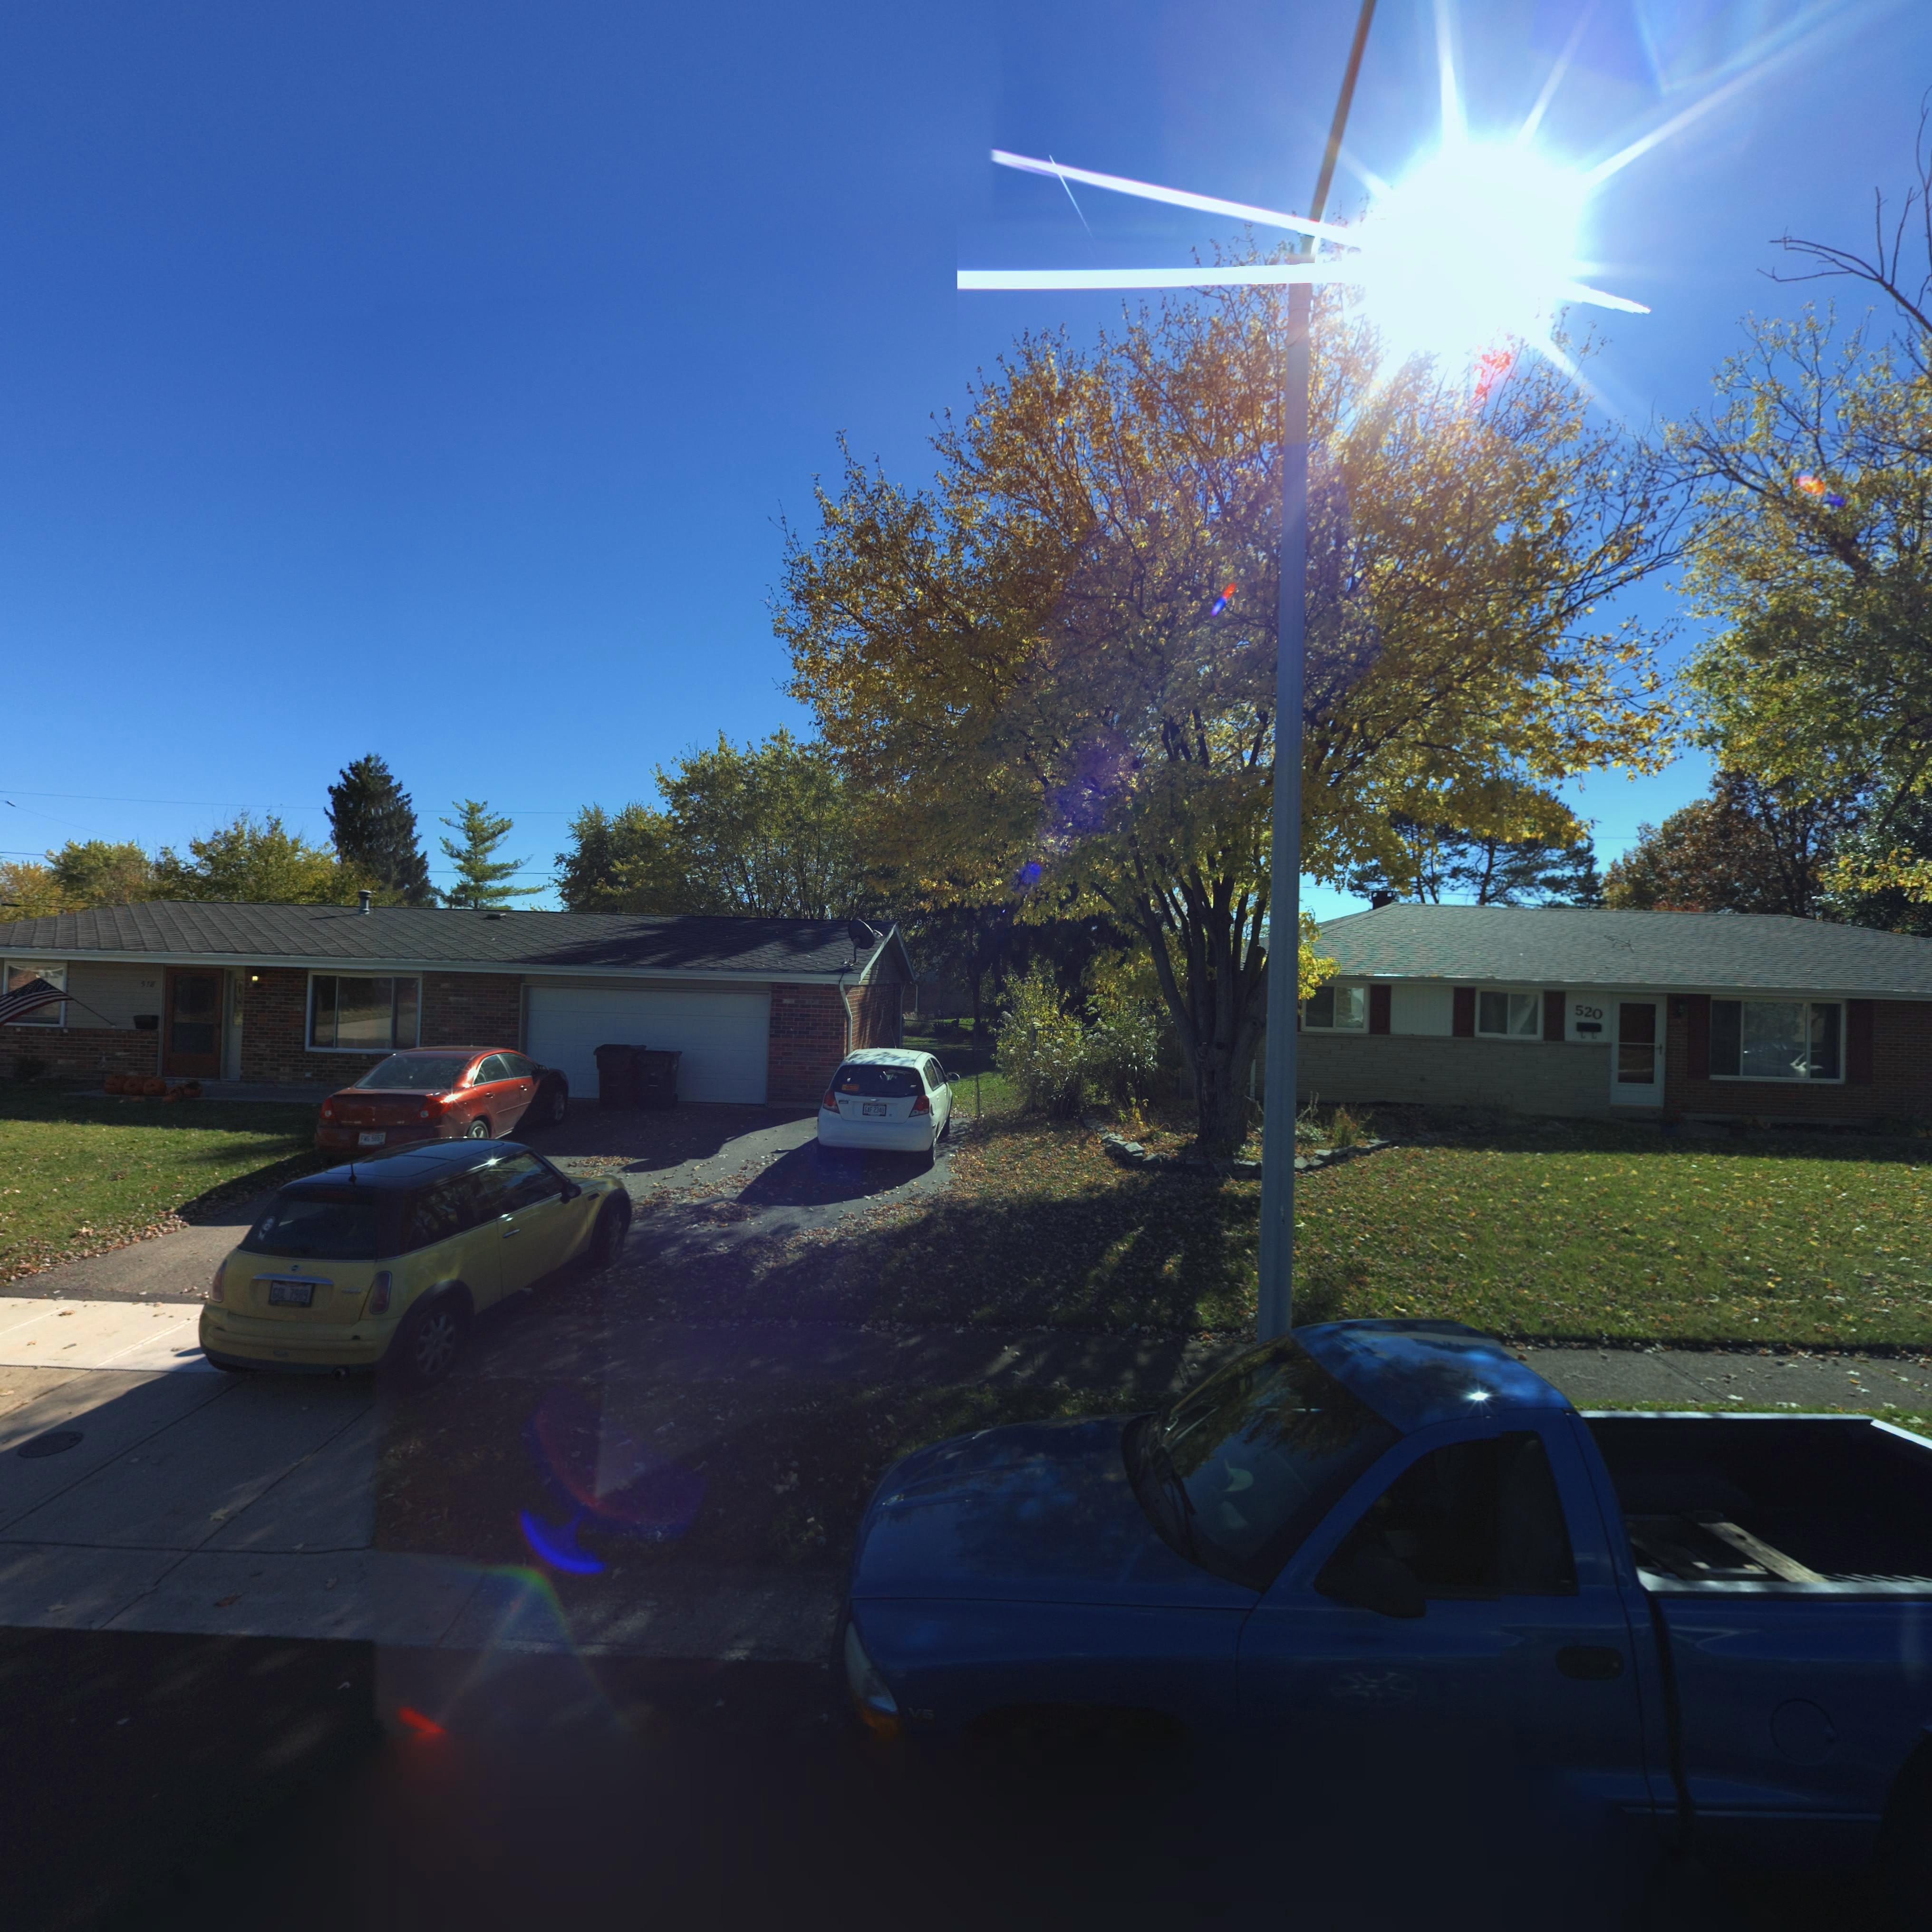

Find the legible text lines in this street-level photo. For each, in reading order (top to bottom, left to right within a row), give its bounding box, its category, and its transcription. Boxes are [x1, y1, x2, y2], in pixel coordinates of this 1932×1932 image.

[140, 980, 156, 987] StreetNumber: 518
[1575, 1005, 1604, 1021] StreetNumber: 520